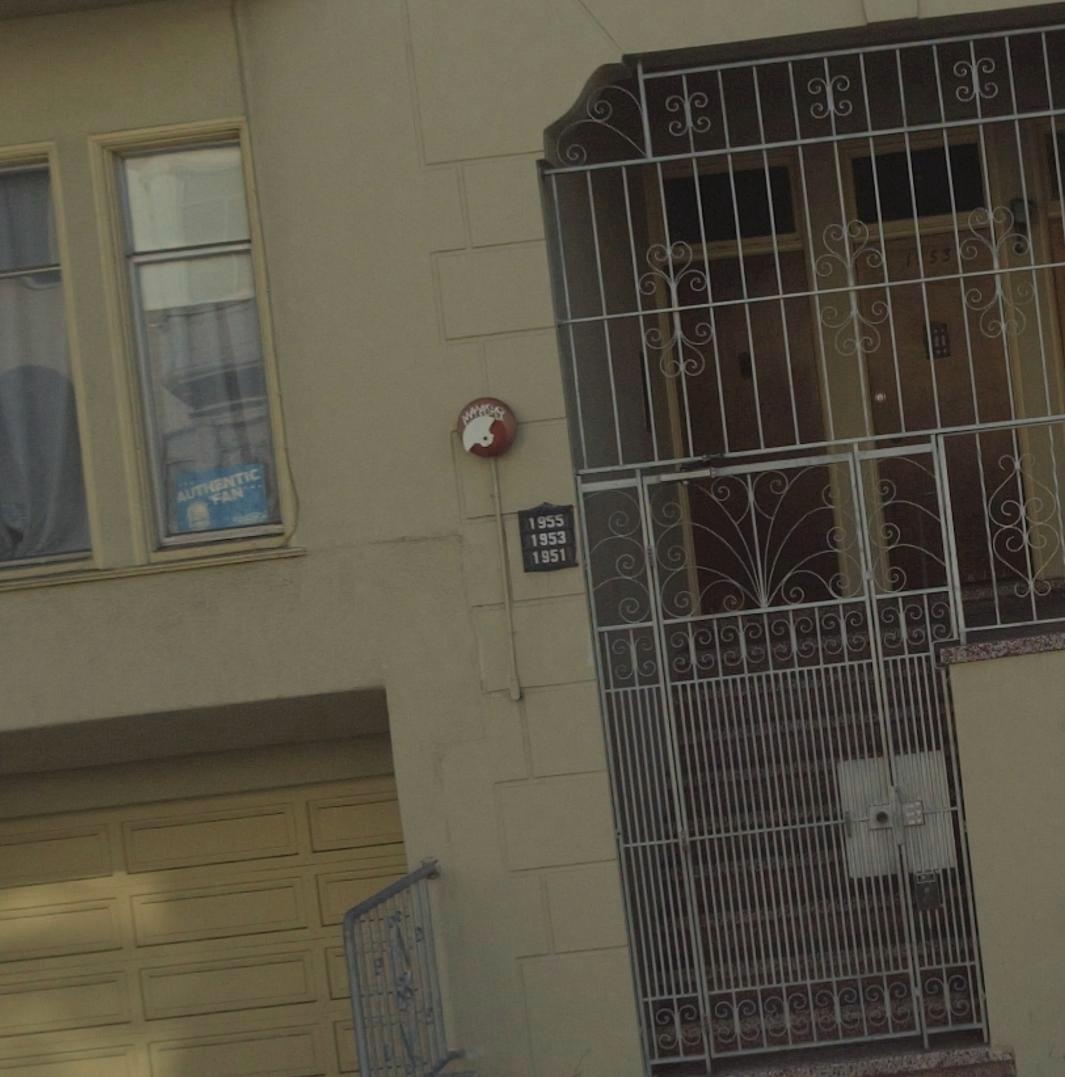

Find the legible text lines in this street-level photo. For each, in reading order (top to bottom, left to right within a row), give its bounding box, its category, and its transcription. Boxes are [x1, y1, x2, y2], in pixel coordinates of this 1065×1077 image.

[176, 464, 265, 506] None: AUTHENTIC
[211, 482, 245, 508] None: FAN
[526, 511, 566, 532] StreetNumber: 1955
[529, 528, 567, 549] StreetNumber: 1953
[530, 545, 568, 567] StreetNumber: 1951